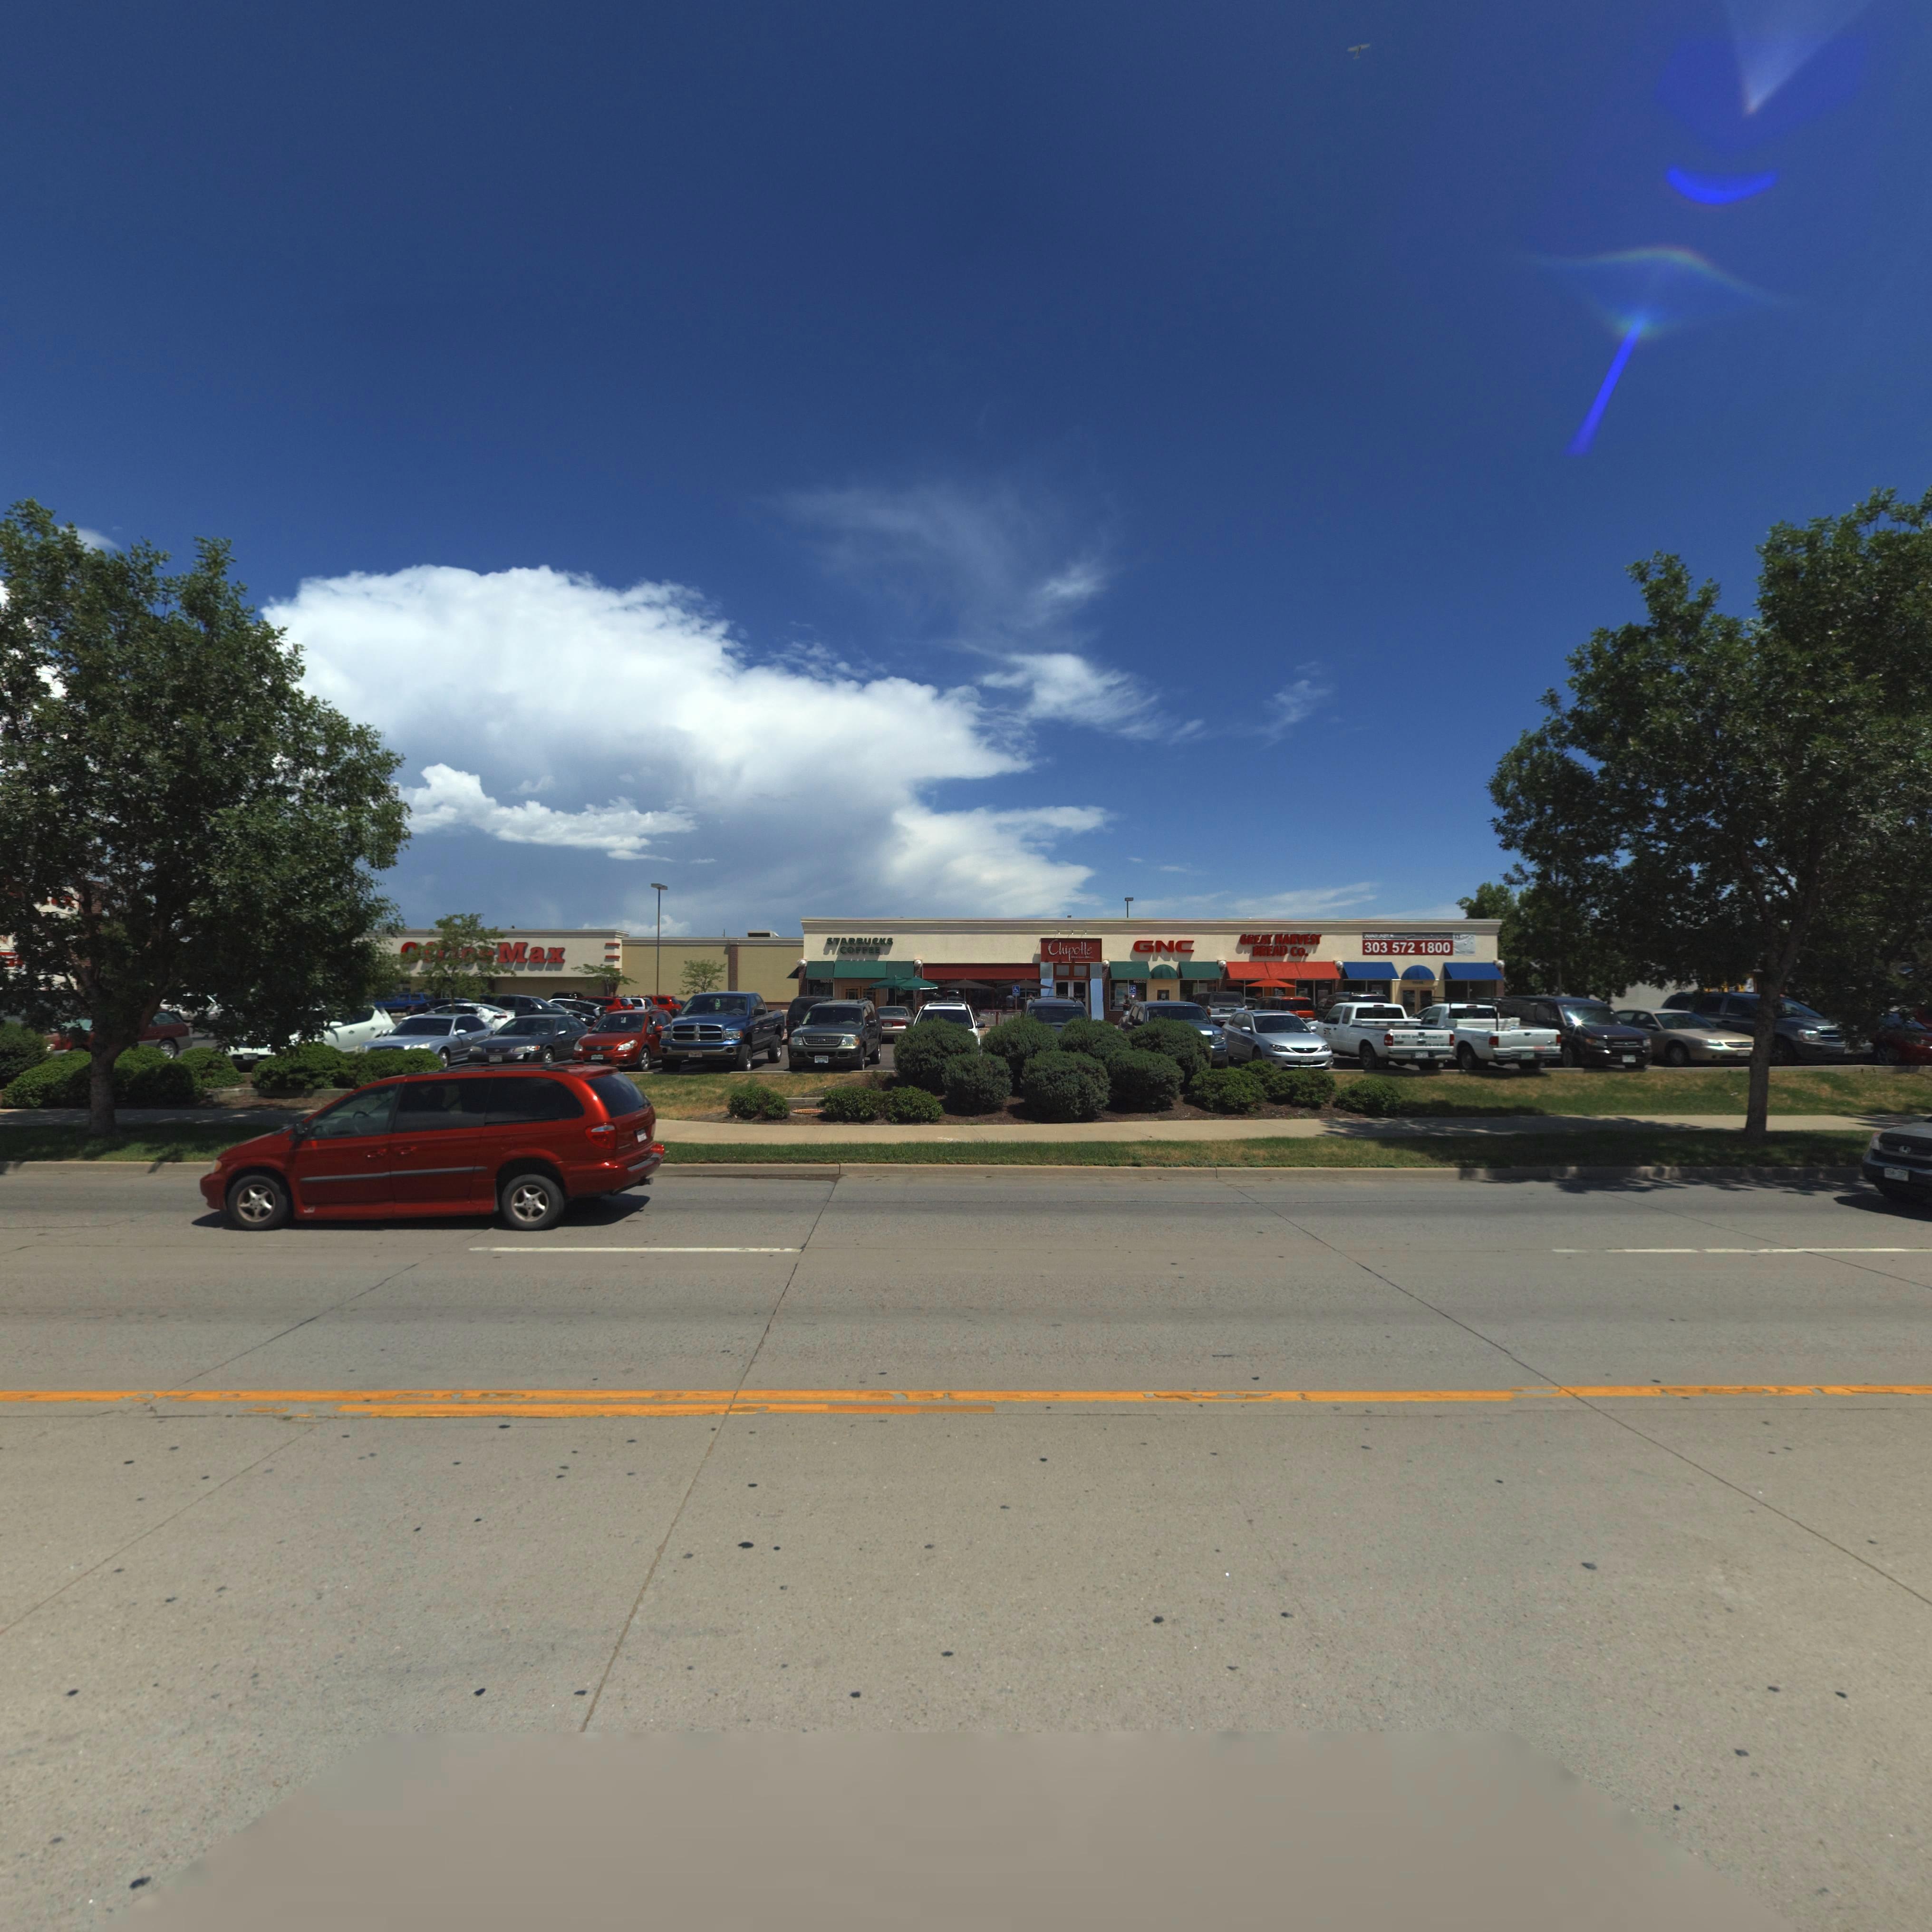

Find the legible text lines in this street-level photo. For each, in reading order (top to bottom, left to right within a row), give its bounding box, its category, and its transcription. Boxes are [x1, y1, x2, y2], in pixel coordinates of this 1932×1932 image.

[400, 940, 566, 964] BusinessName: O***ceMax
[839, 946, 880, 954] BusinessName: COFFEE
[827, 937, 893, 945] BusinessName: STARBUCKS
[1047, 938, 1092, 962] BusinessName: Chipolte
[1132, 939, 1195, 953] BusinessName: GNC
[1239, 933, 1322, 945] BusinessName: GREAT HARVEST
[1252, 945, 1309, 956] BusinessName: BREAD Co.
[0, 951, 17, 966] BusinessName: G
[820, 978, 833, 983] StreetNumber: 1100*
[1133, 979, 1146, 983] StreetNumber: 1100C